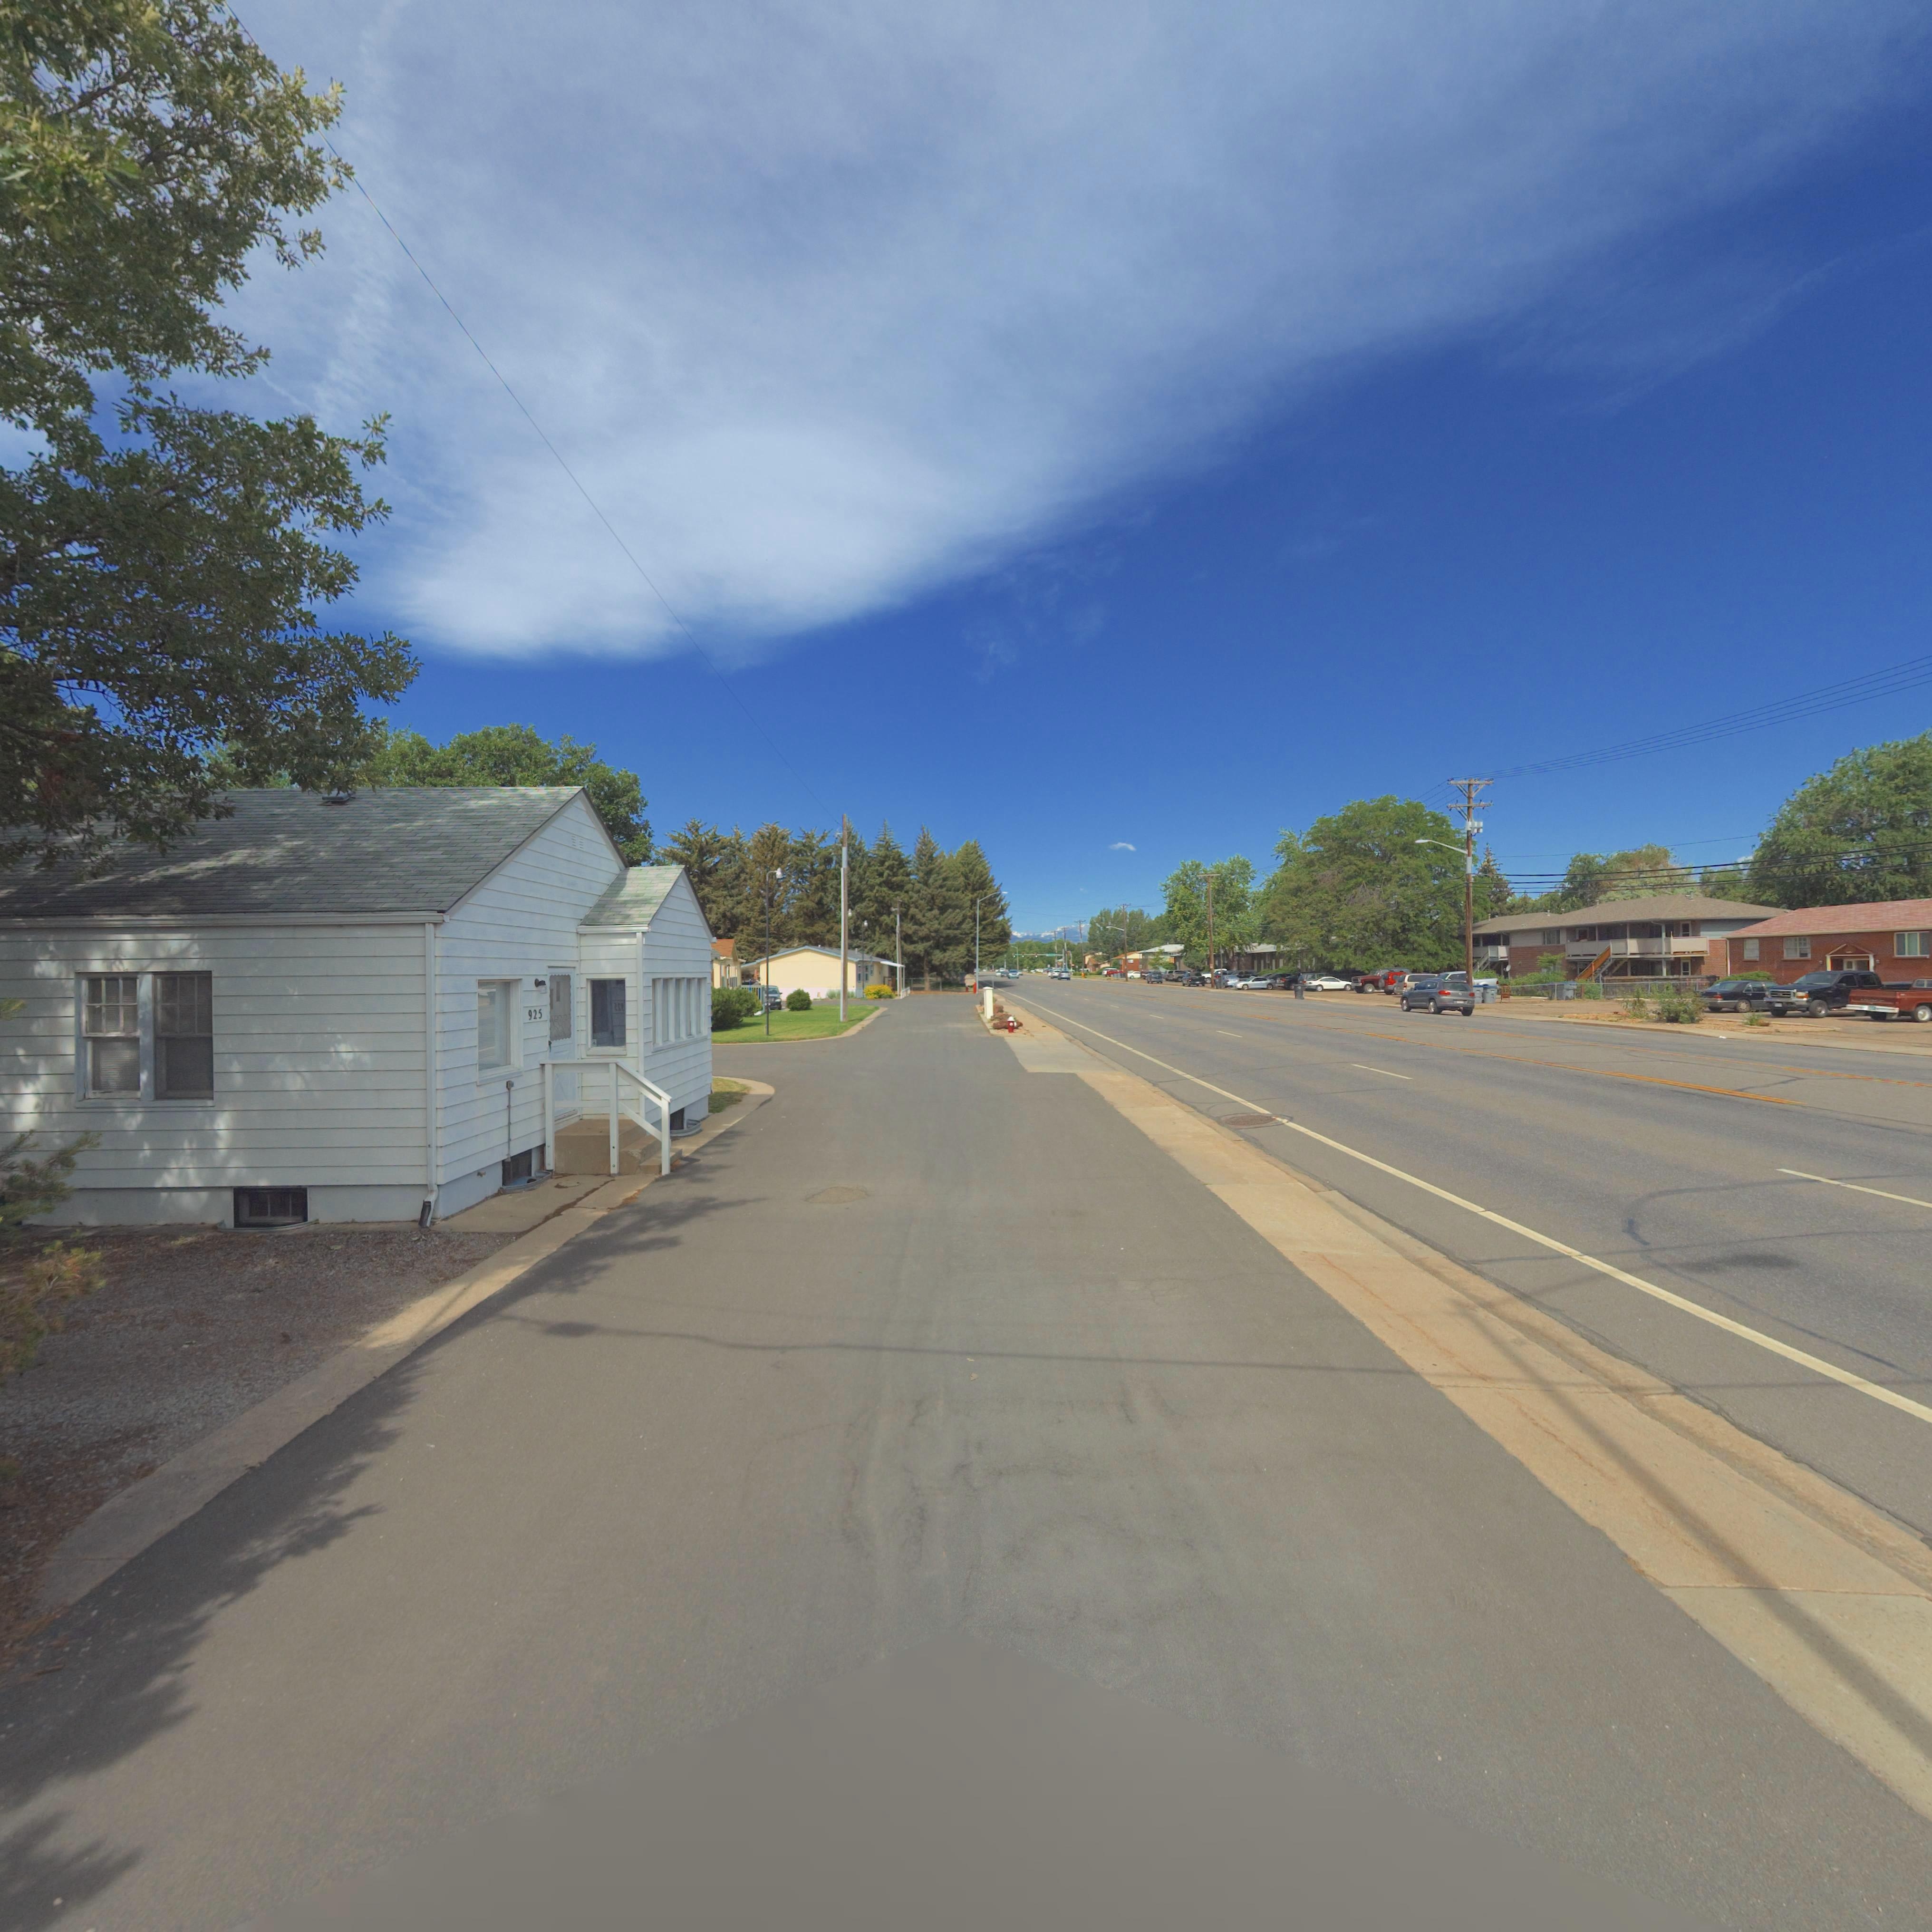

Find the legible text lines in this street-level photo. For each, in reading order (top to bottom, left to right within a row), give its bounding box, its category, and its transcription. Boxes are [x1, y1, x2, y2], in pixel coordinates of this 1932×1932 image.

[528, 1008, 542, 1021] StreetNumber: 925